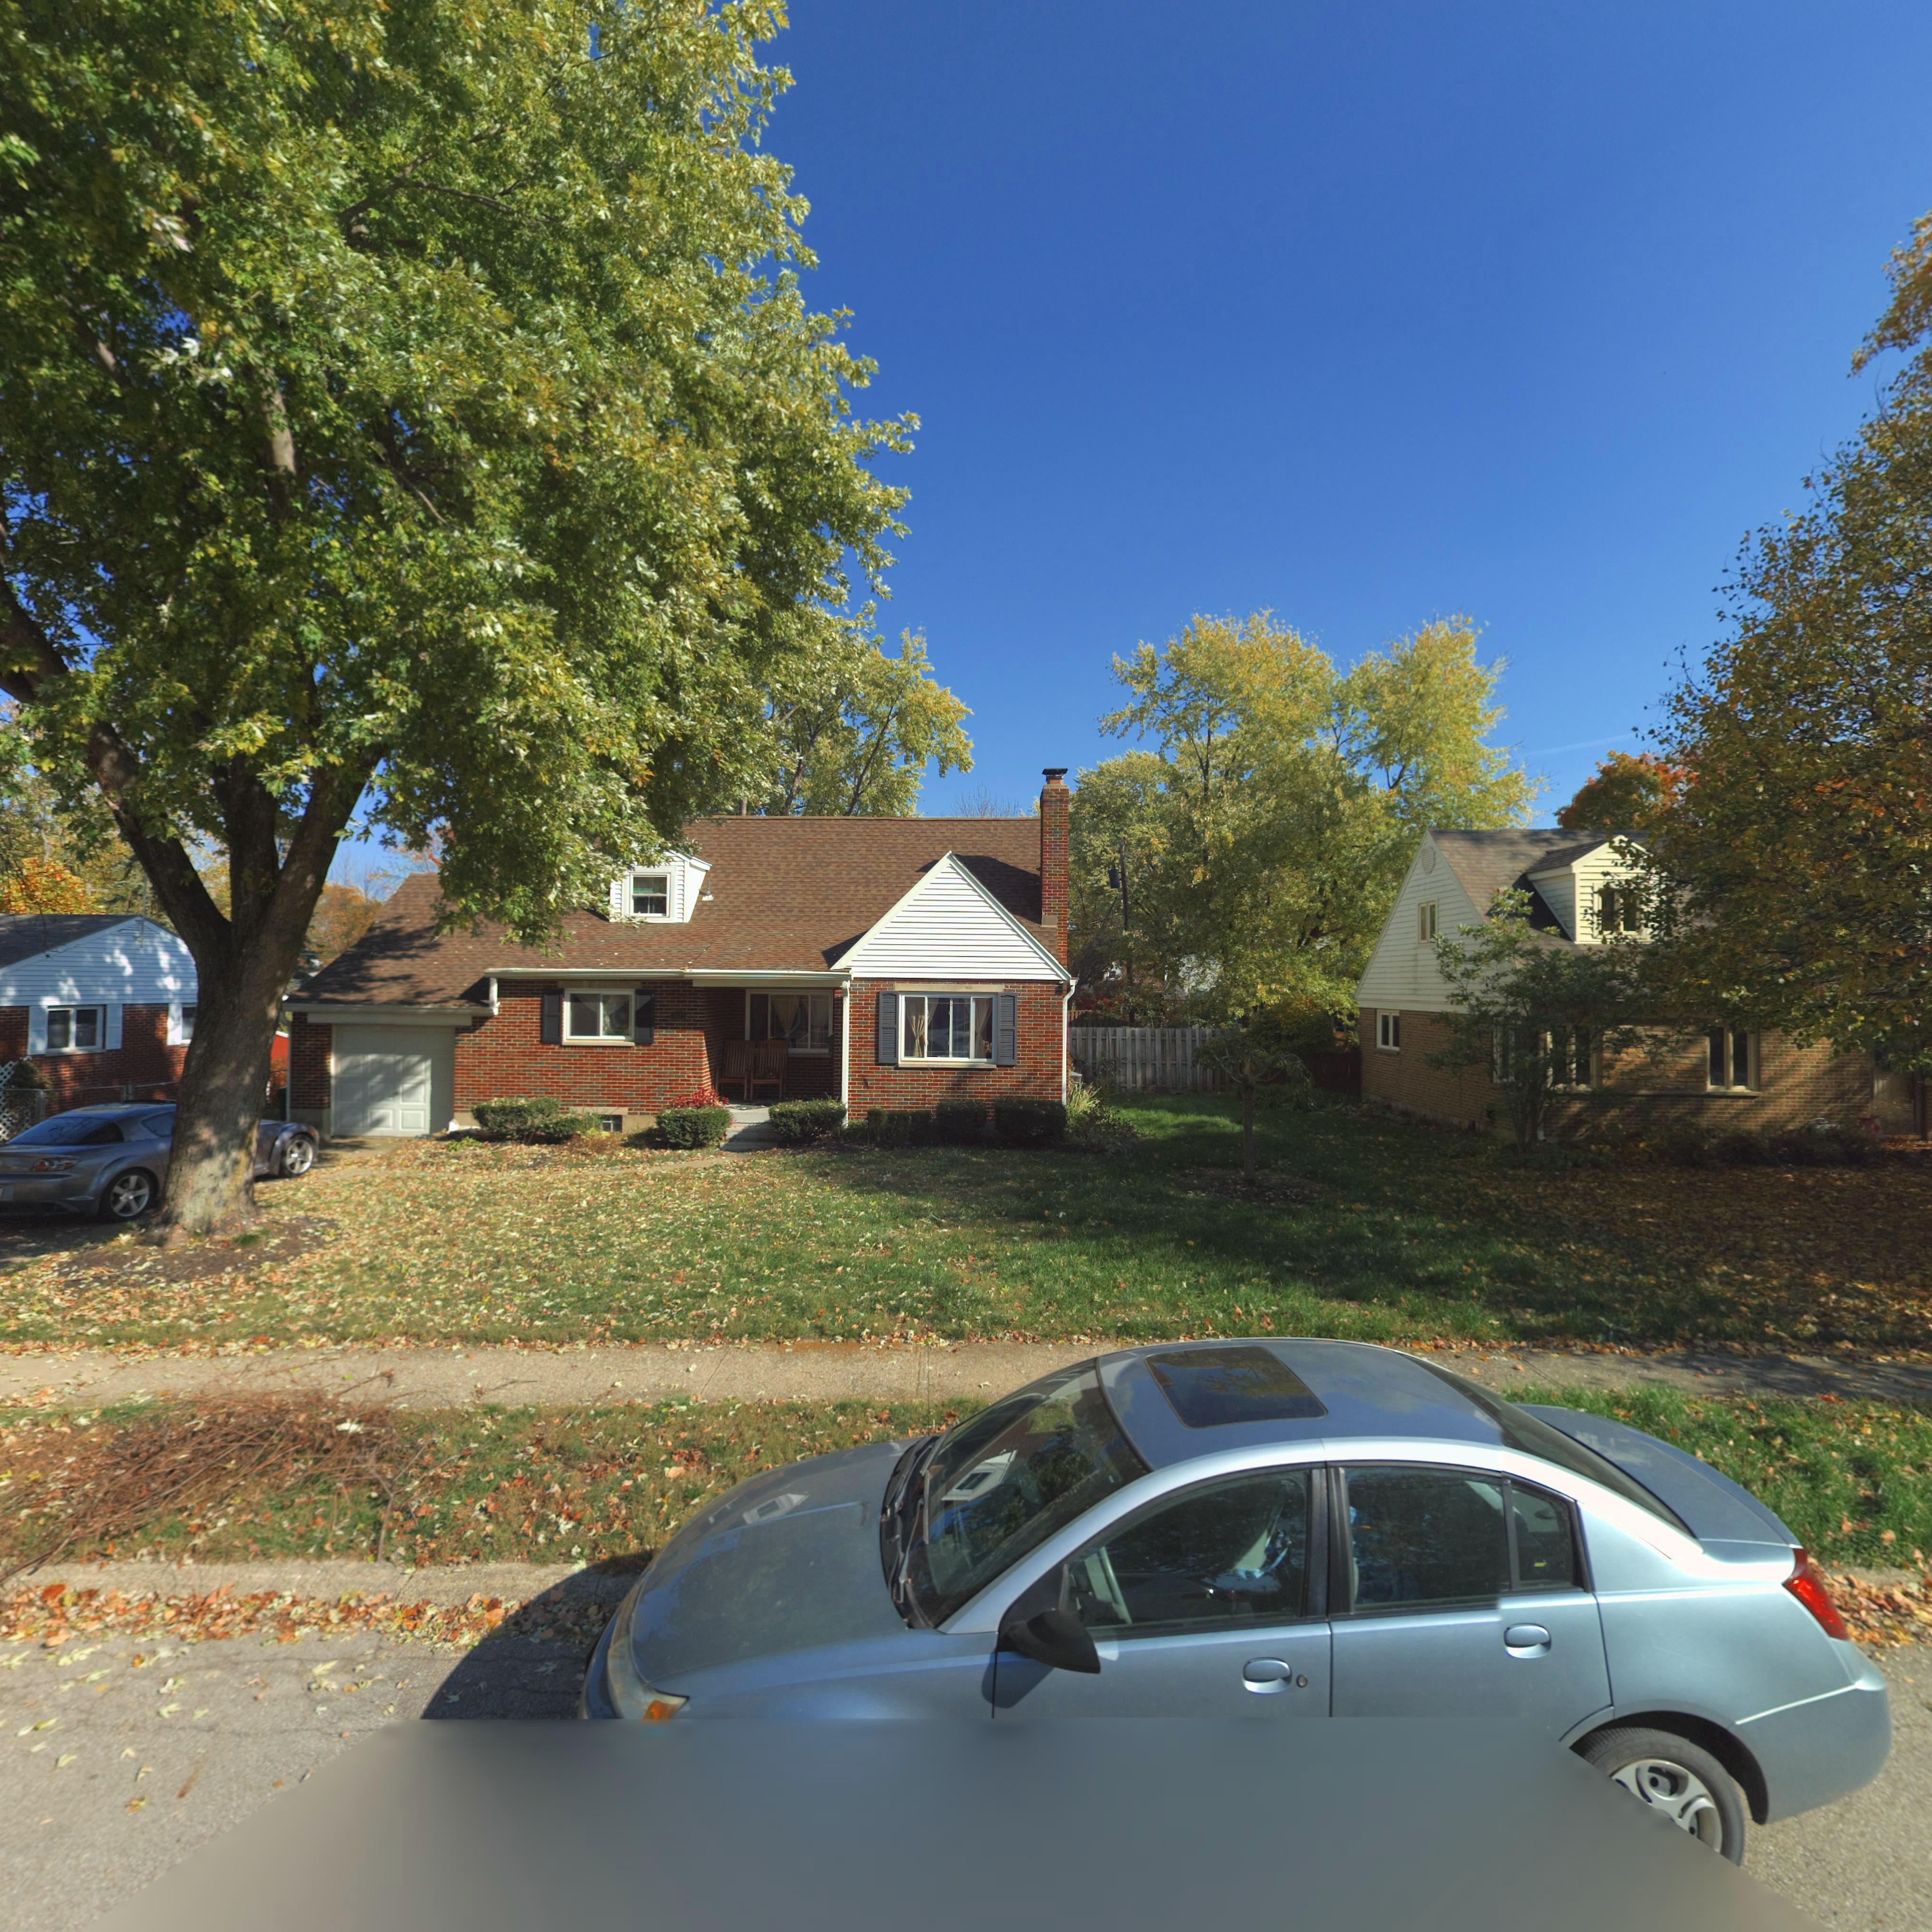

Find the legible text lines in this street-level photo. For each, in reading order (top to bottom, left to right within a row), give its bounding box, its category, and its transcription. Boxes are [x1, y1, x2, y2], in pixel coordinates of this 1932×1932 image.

[672, 1013, 685, 1018] StreetNumber: 2890